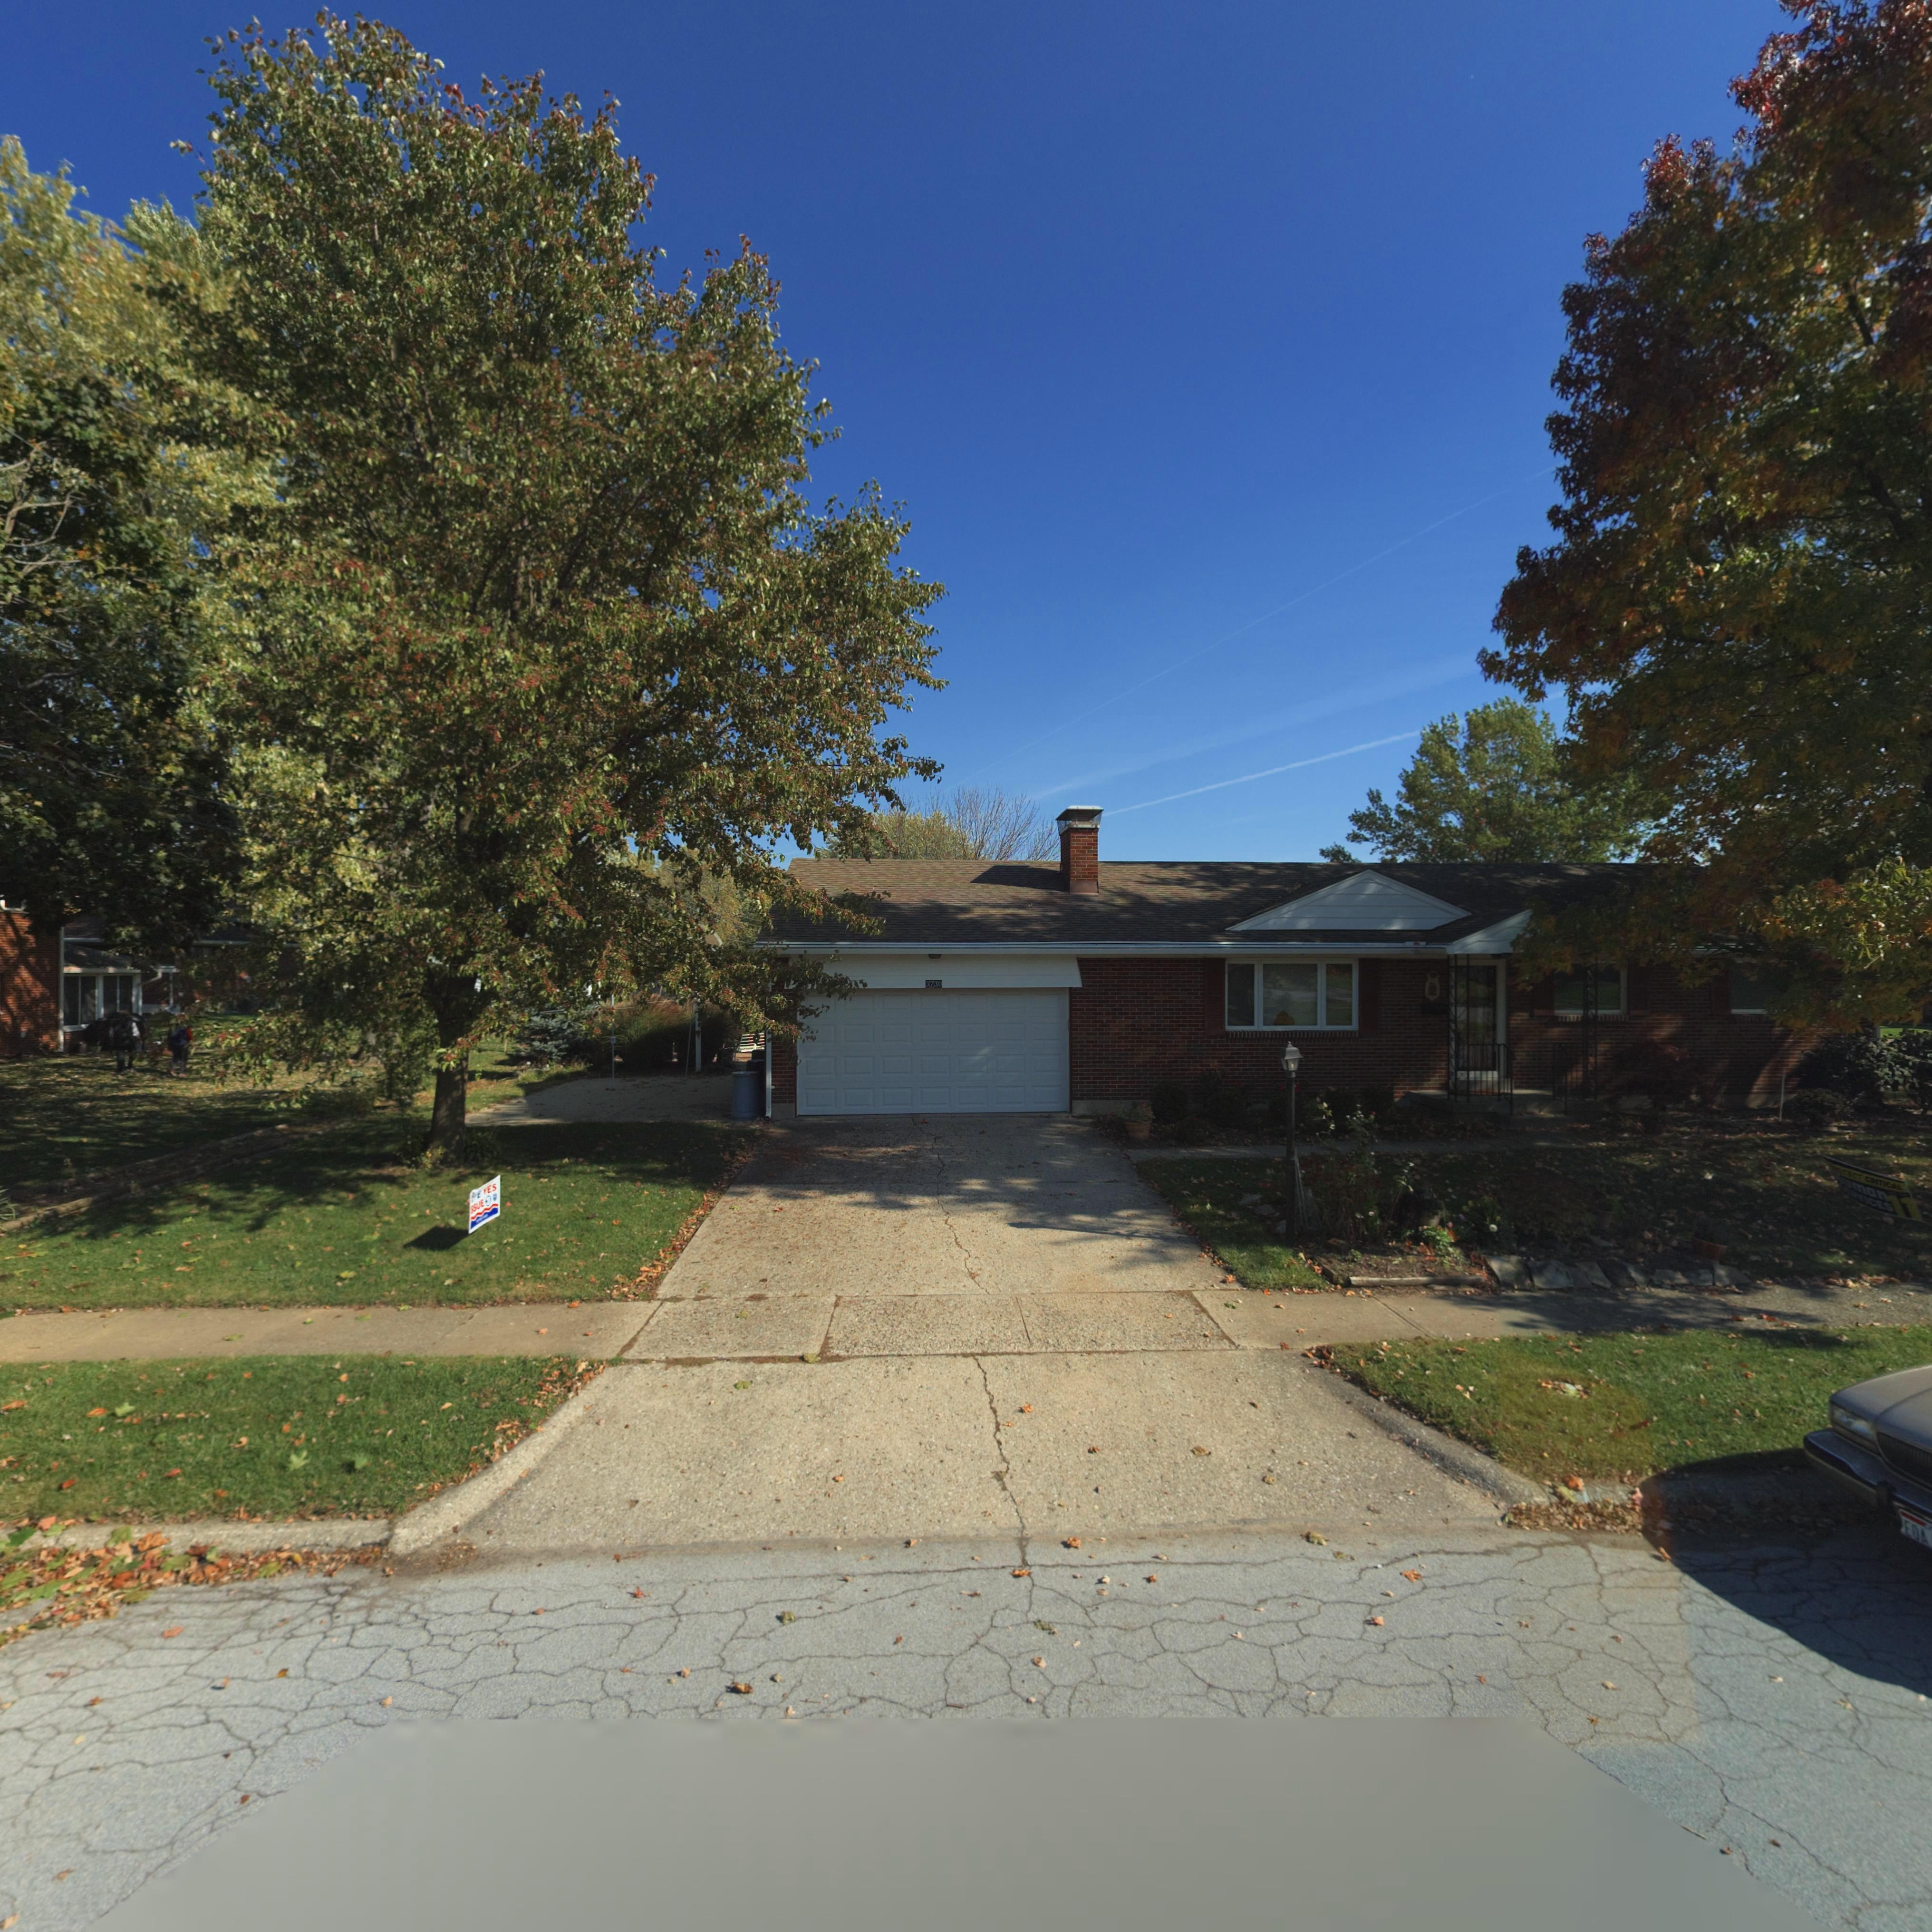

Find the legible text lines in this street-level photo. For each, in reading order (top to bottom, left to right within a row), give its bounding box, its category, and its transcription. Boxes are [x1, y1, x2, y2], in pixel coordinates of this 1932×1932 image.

[926, 980, 942, 987] StreetNumber: 3730
[477, 1182, 497, 1199] None: E *ES
[470, 1198, 485, 1215] None: SSUE
[486, 1196, 491, 1207] None: 3
[1904, 1519, 1932, 1548] None: EDA